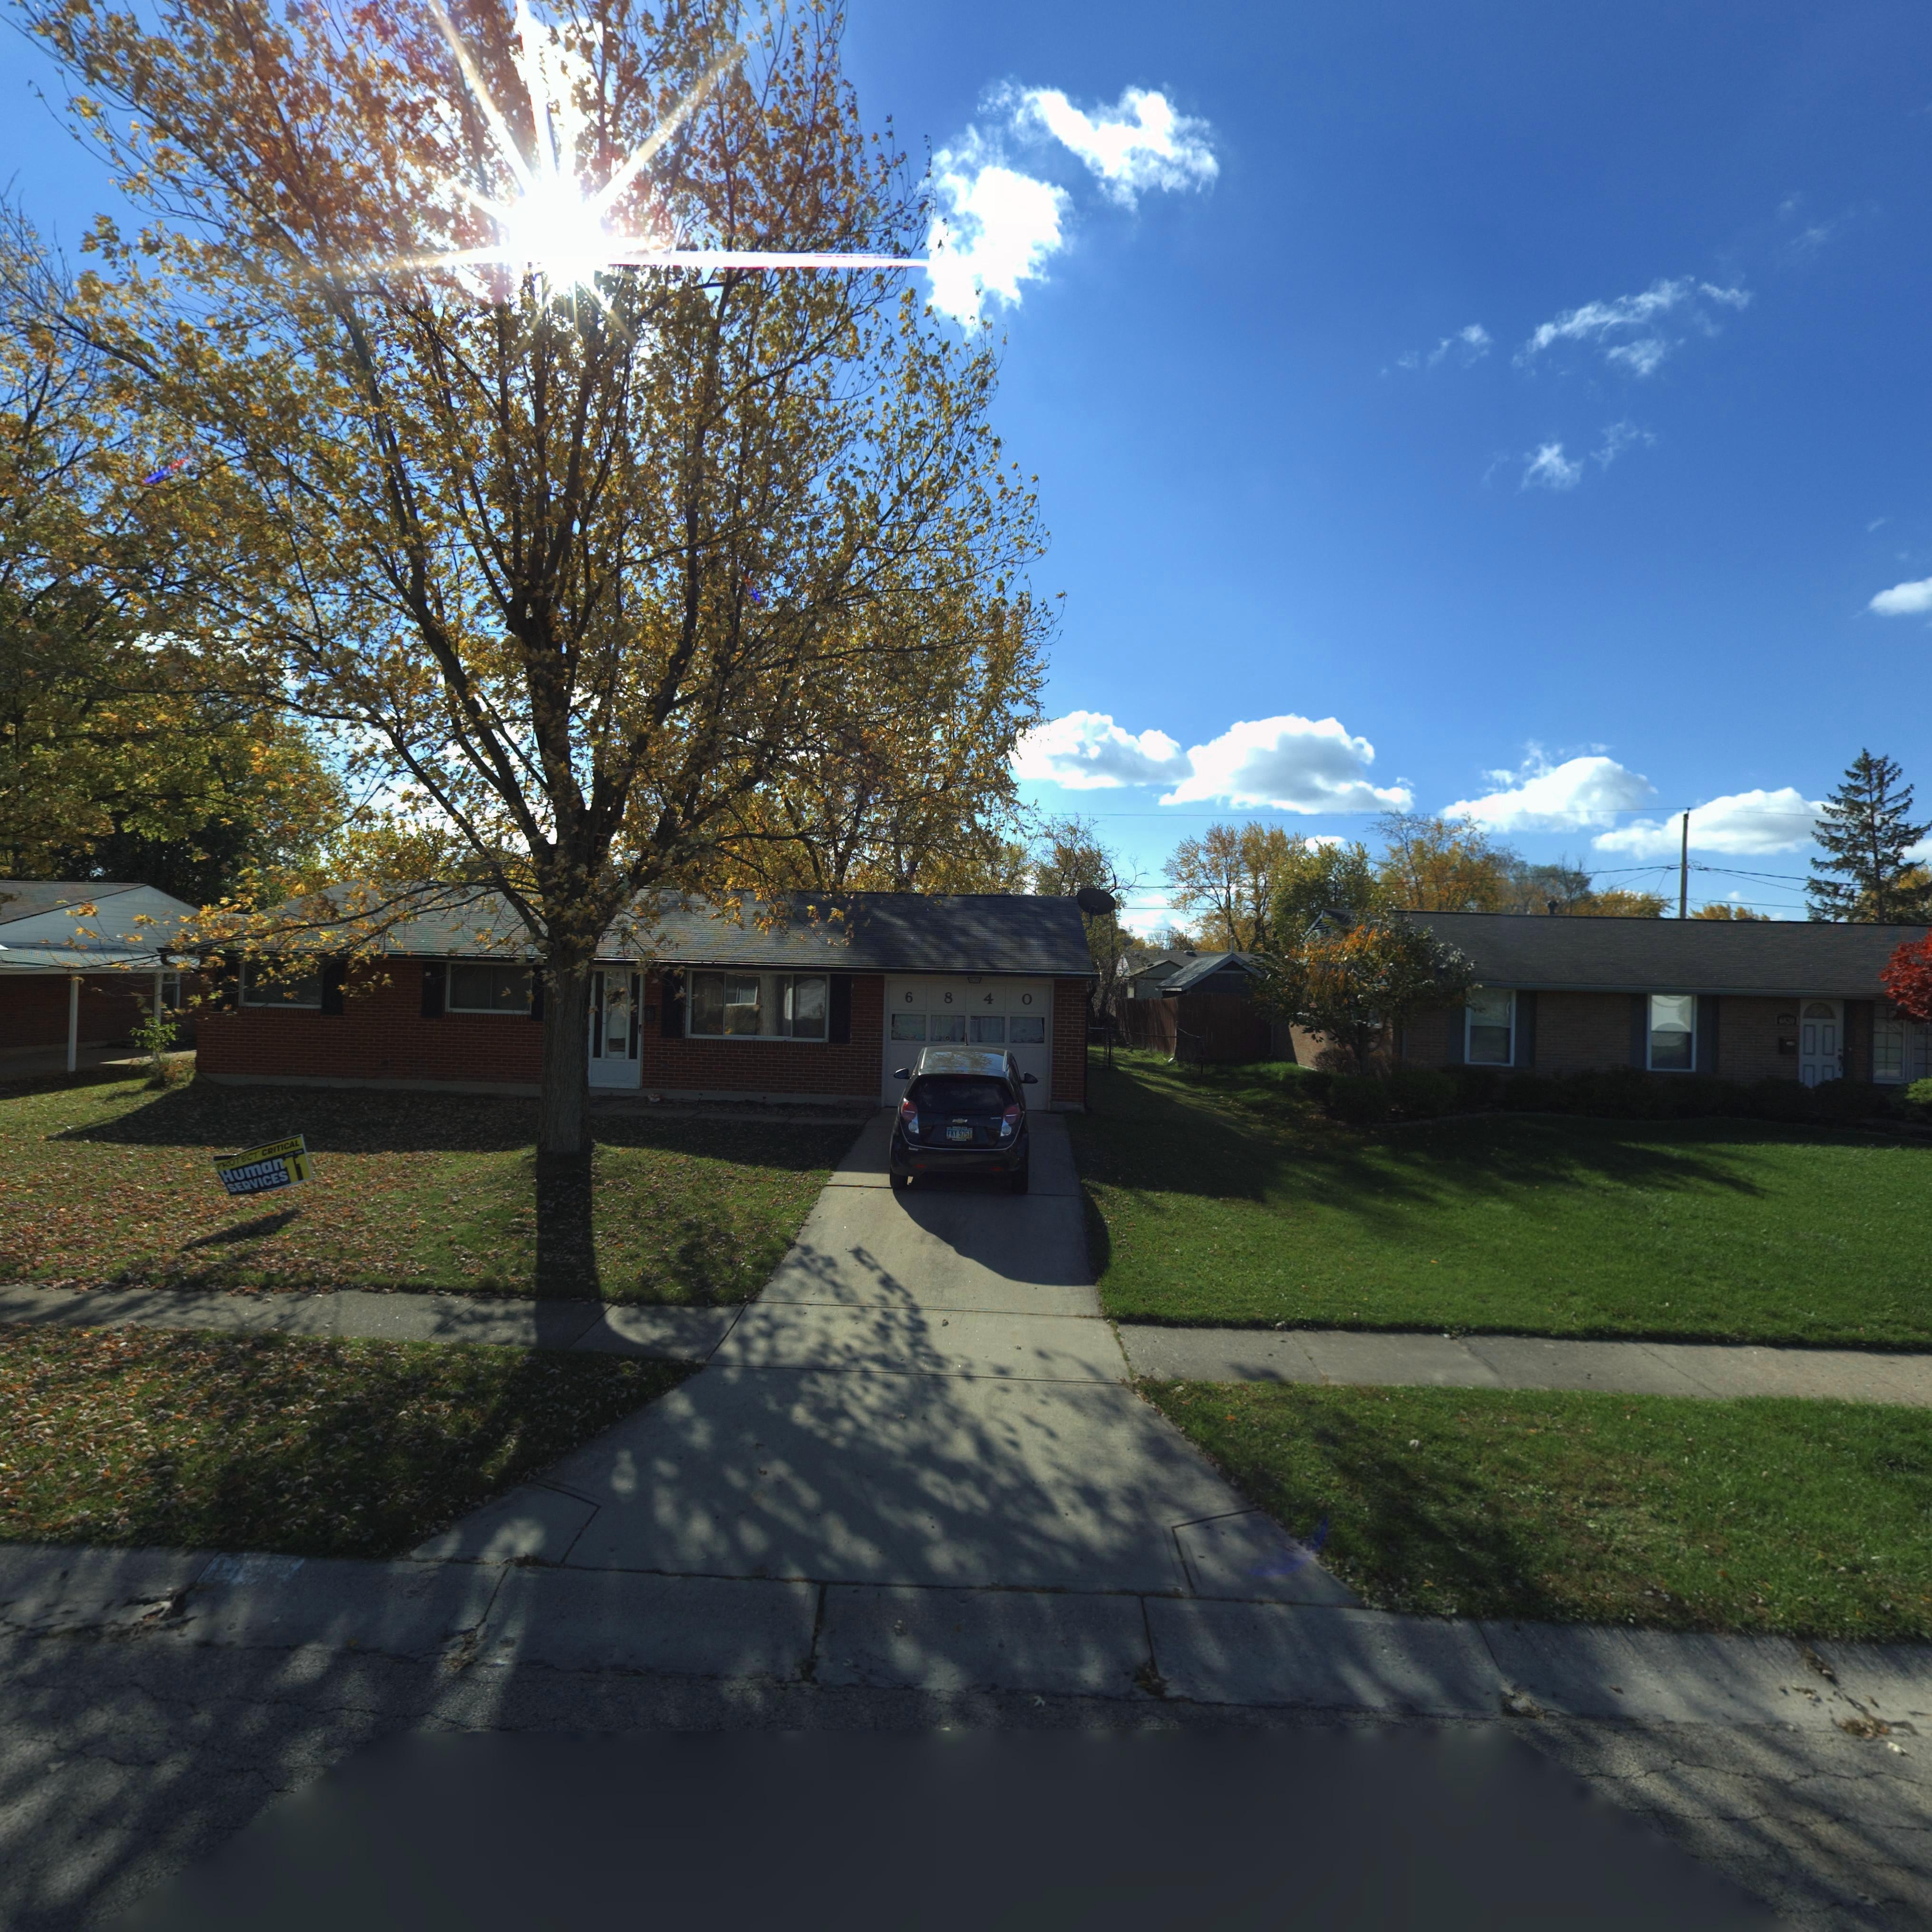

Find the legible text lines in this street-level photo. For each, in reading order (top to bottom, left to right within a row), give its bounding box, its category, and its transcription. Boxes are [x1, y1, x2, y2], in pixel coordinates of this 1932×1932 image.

[904, 990, 1034, 1007] StreetNumber: 6*8*4*0
[1777, 1015, 1797, 1026] StreetNumber: 6**0